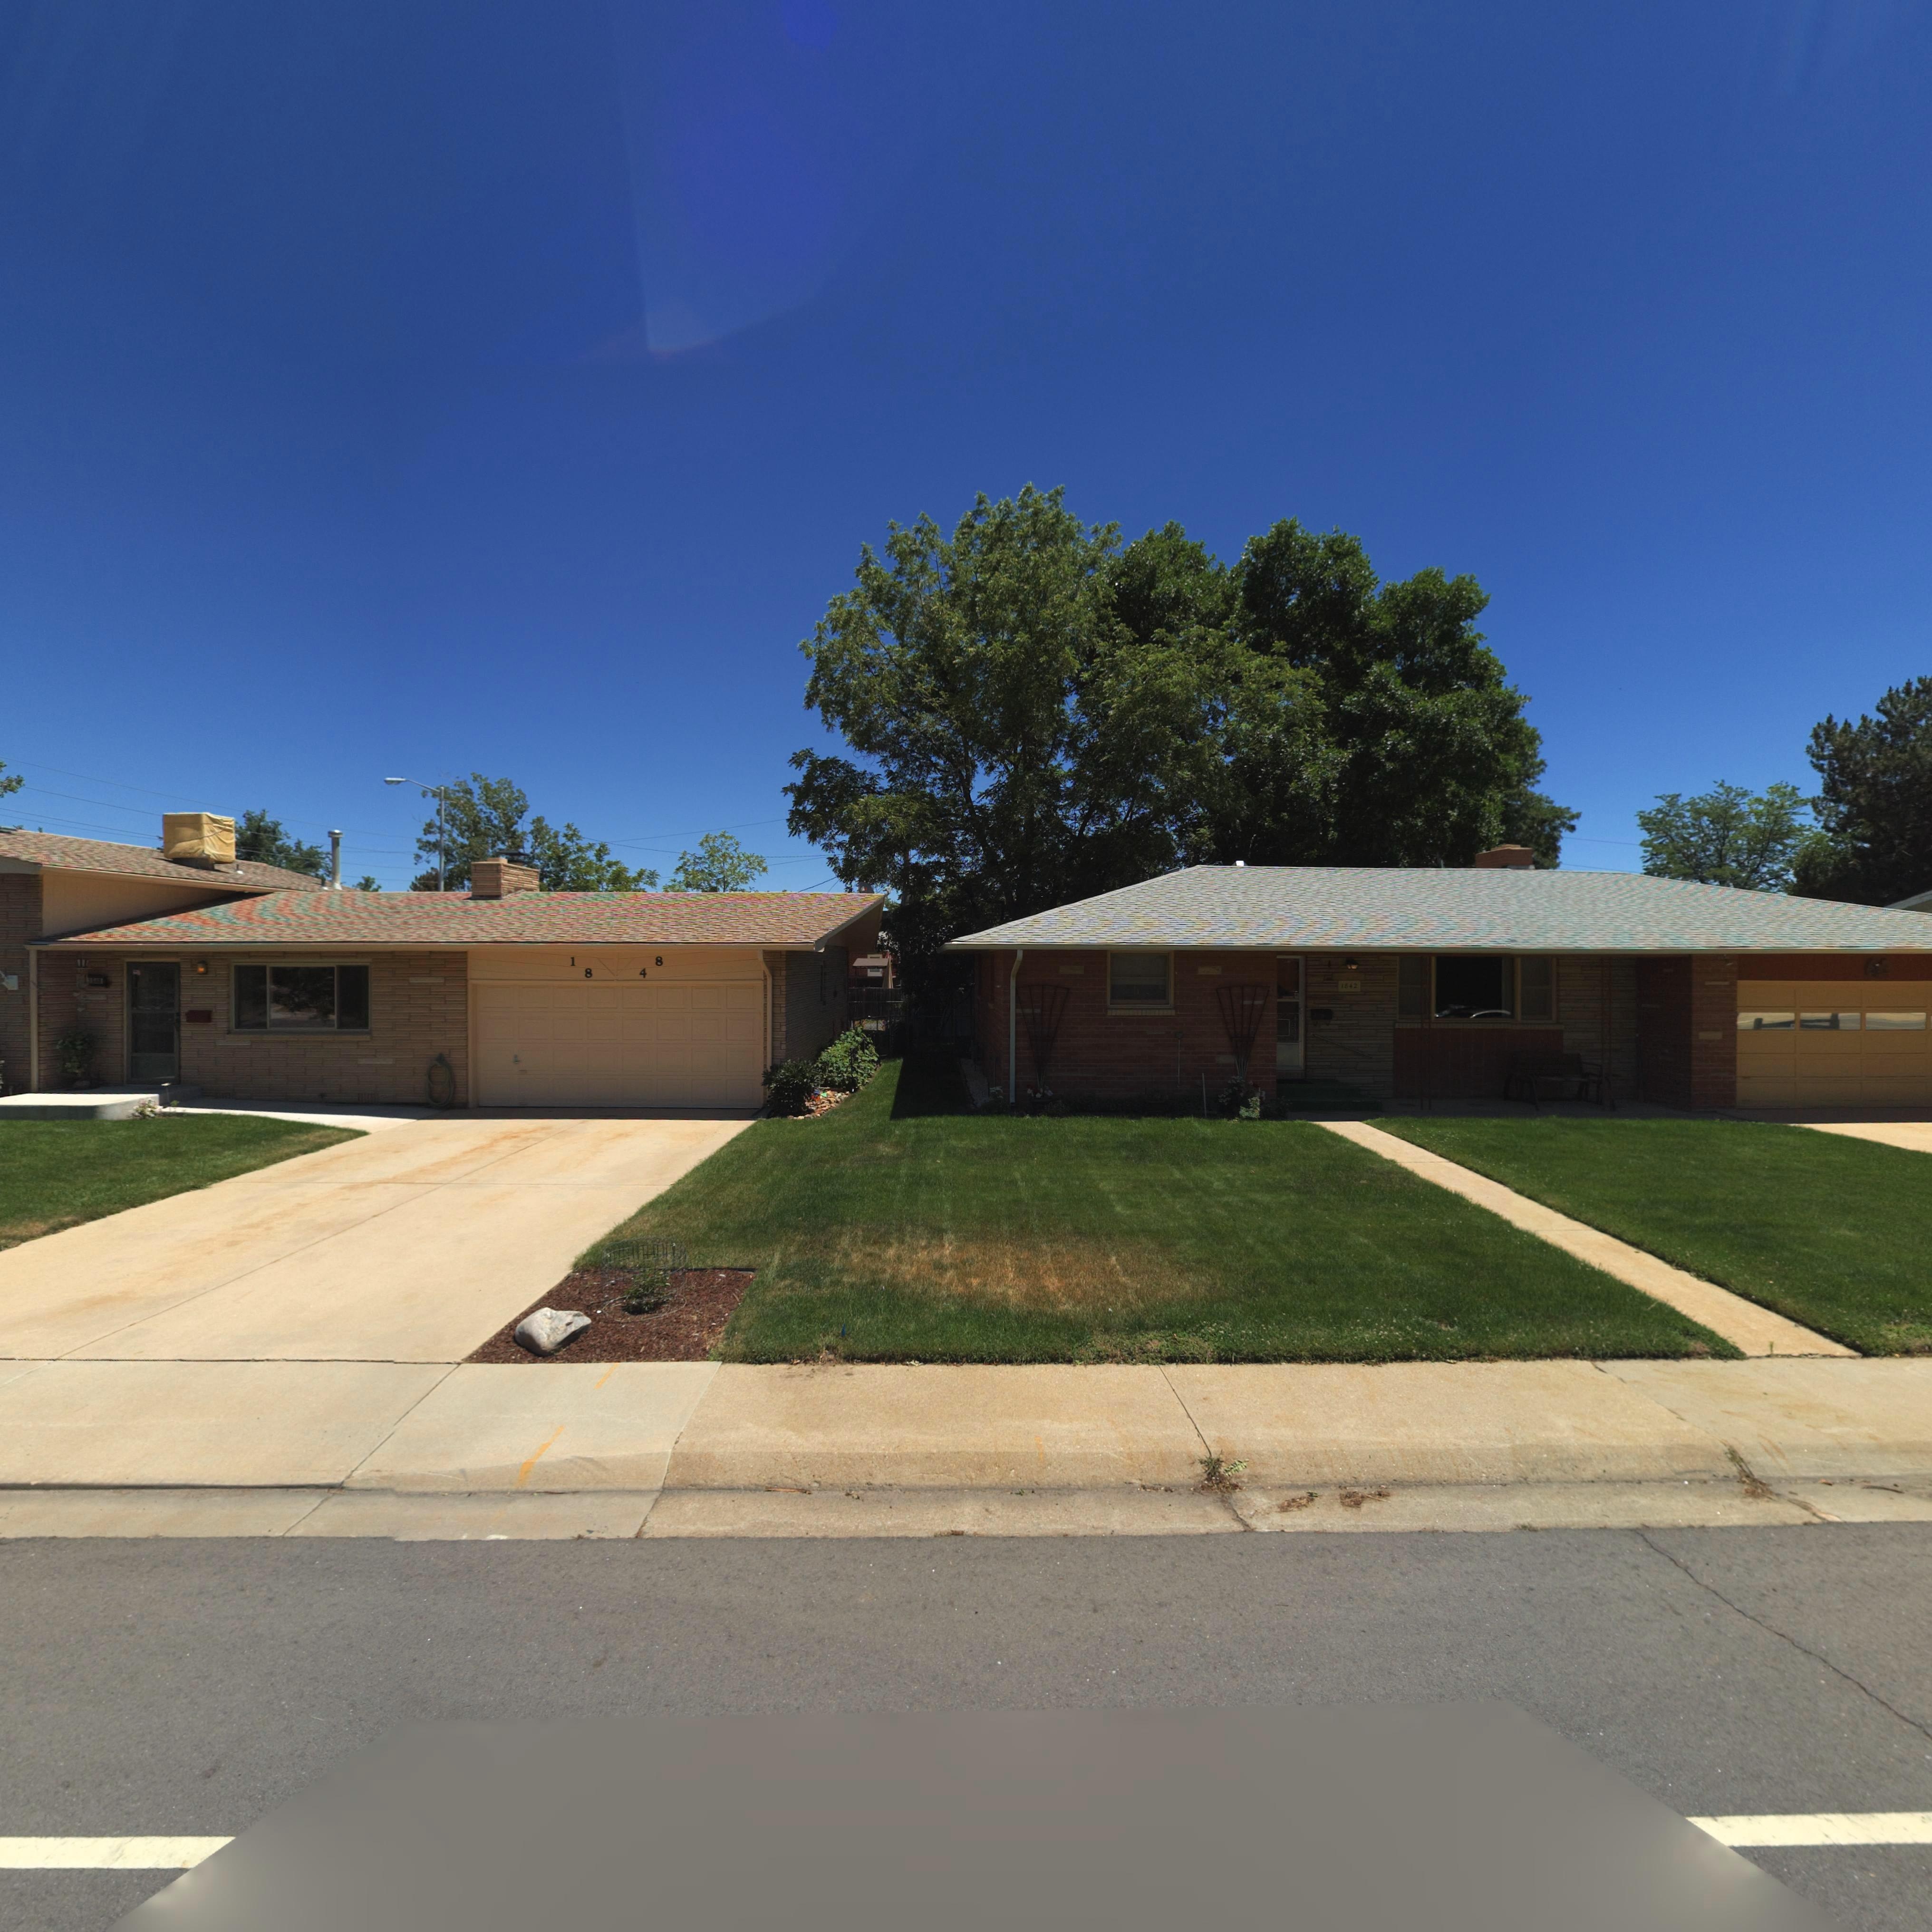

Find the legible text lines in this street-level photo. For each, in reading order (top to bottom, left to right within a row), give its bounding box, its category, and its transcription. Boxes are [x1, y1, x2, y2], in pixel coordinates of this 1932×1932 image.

[570, 956, 593, 978] StreetNumber: 18
[638, 955, 663, 978] StreetNumber: 48
[87, 977, 101, 984] StreetNumber: 1***
[1341, 983, 1358, 989] StreetNumber: 1842